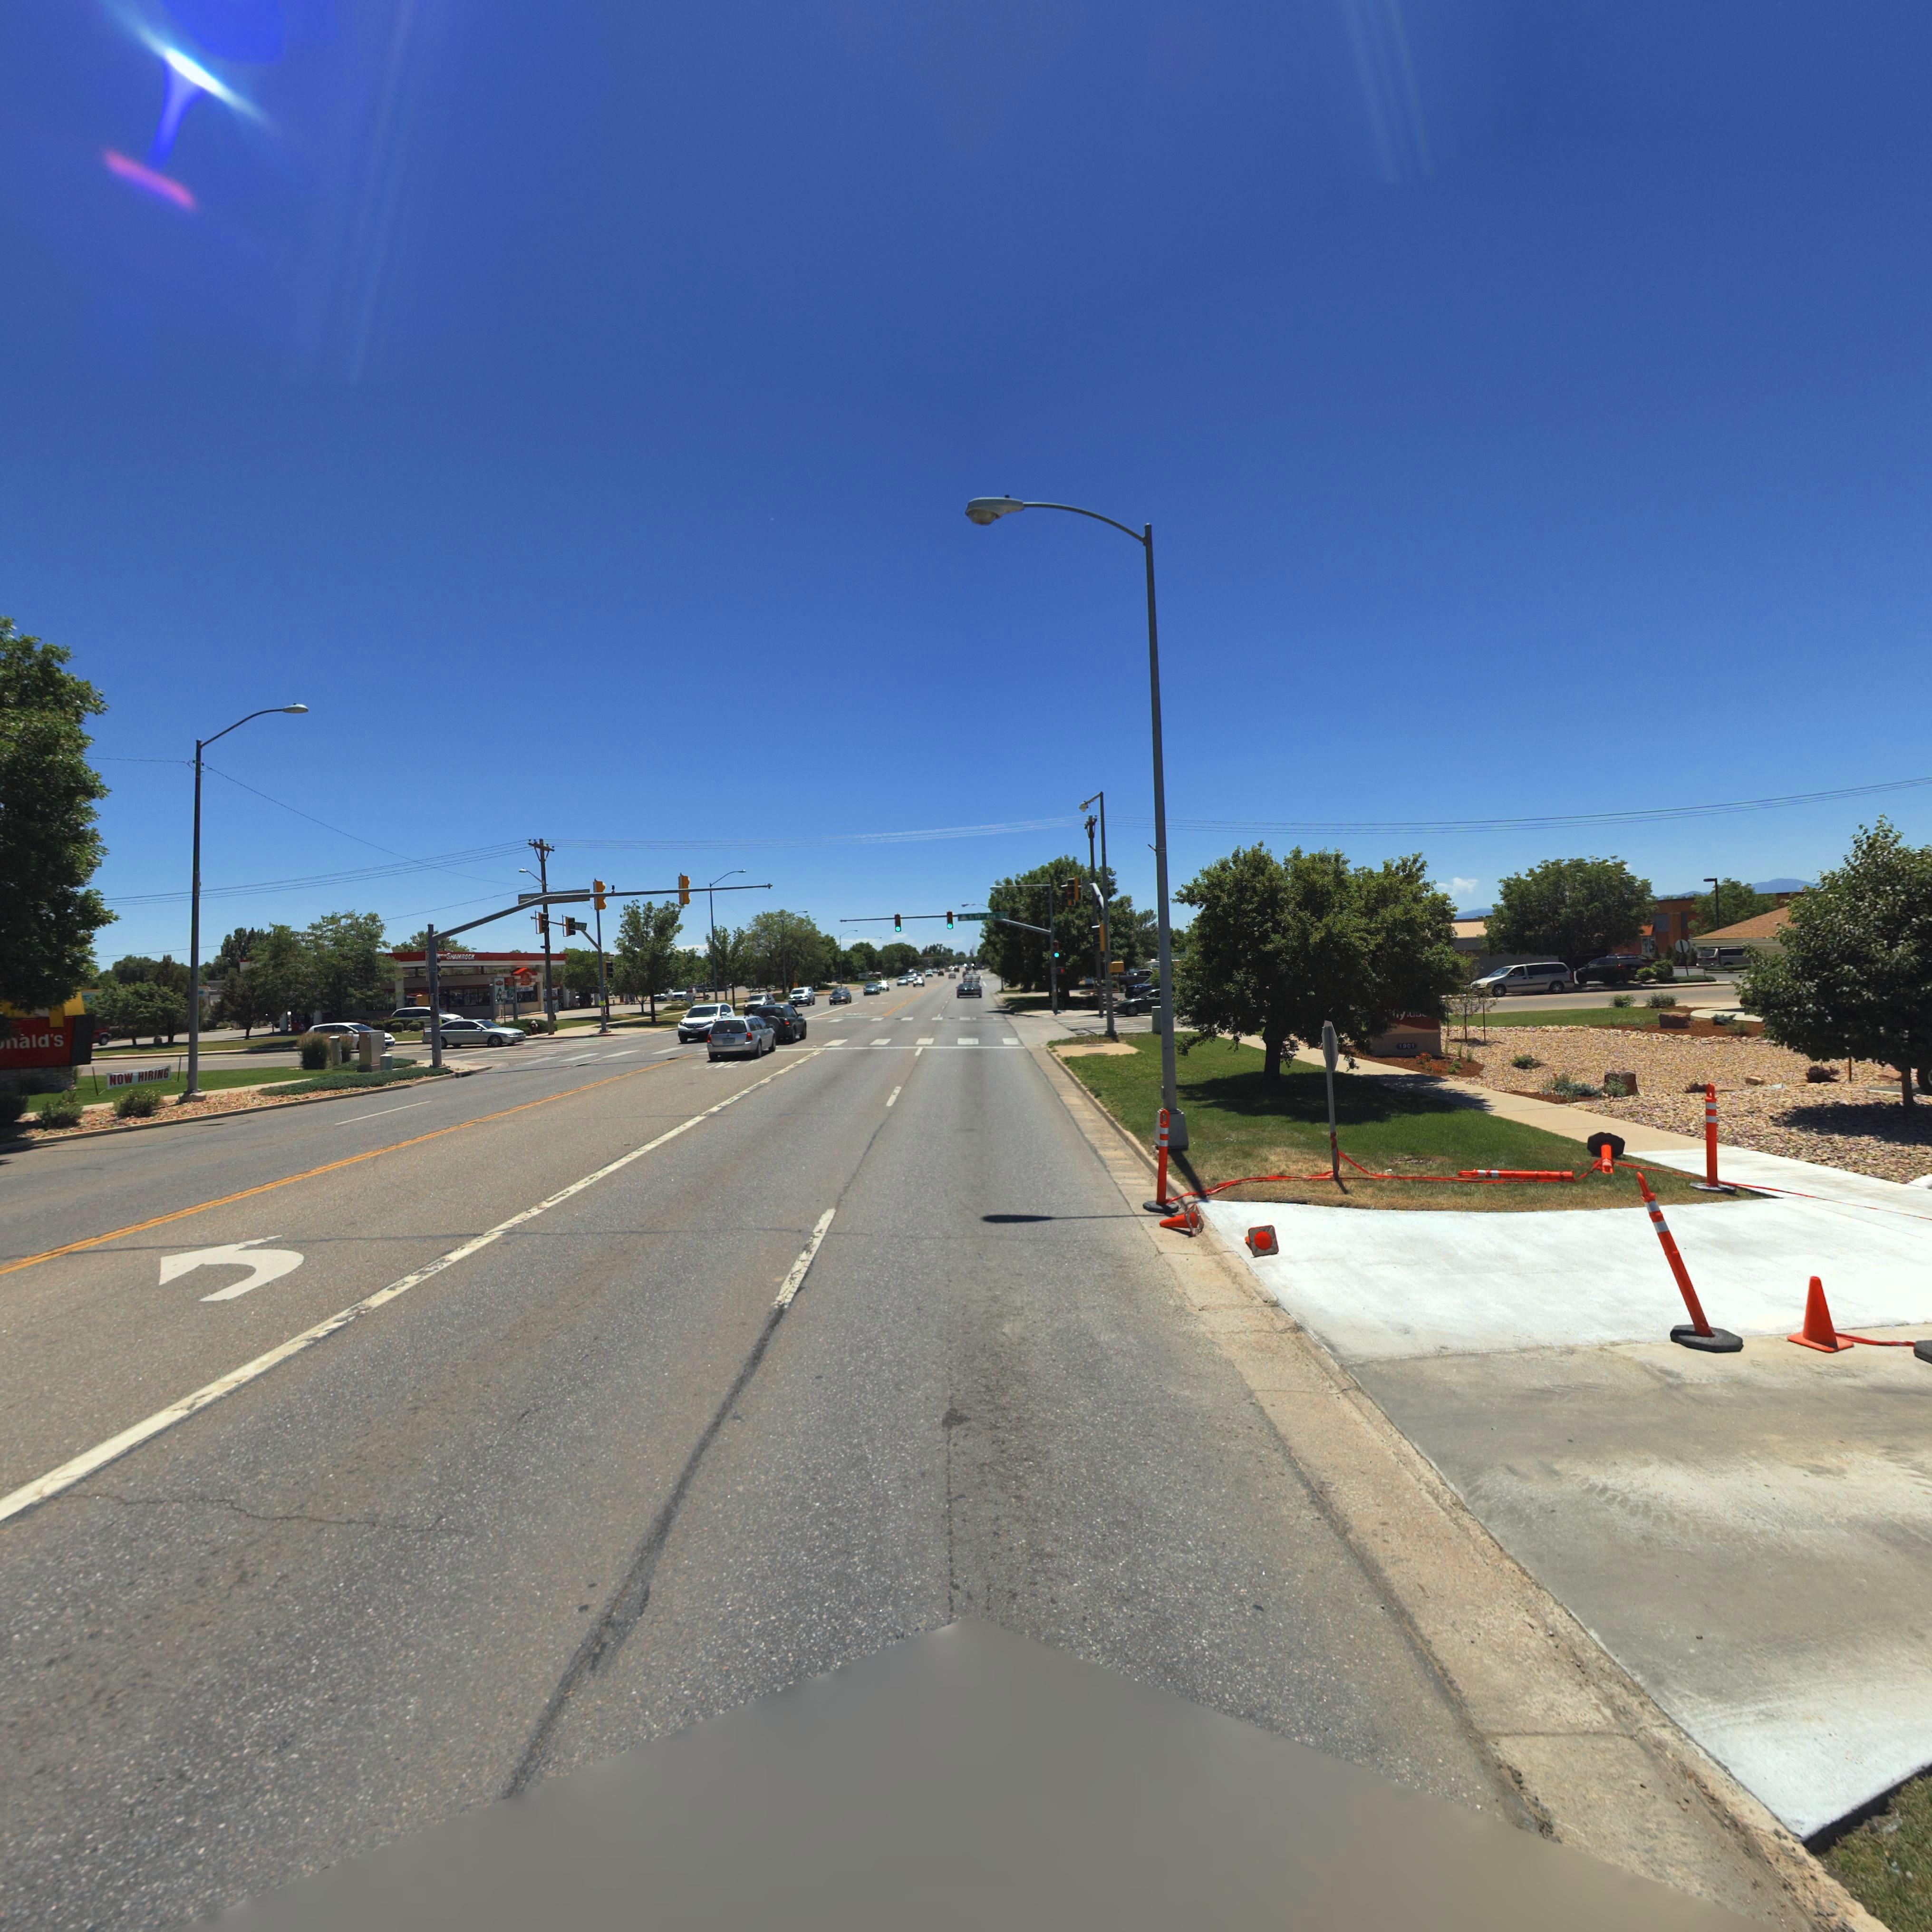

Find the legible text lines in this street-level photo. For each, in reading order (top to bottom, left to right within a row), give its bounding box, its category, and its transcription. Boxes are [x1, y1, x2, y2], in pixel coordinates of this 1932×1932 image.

[969, 913, 996, 920] StreetName: 1* 19th Ave
[445, 952, 475, 960] BusinessName: SHAMROCK
[1382, 1008, 1428, 1022] BusinessName: j*f*y ****
[6, 1033, 64, 1049] BusinessName: nald's
[1399, 1043, 1414, 1049] StreetNumber: 1901